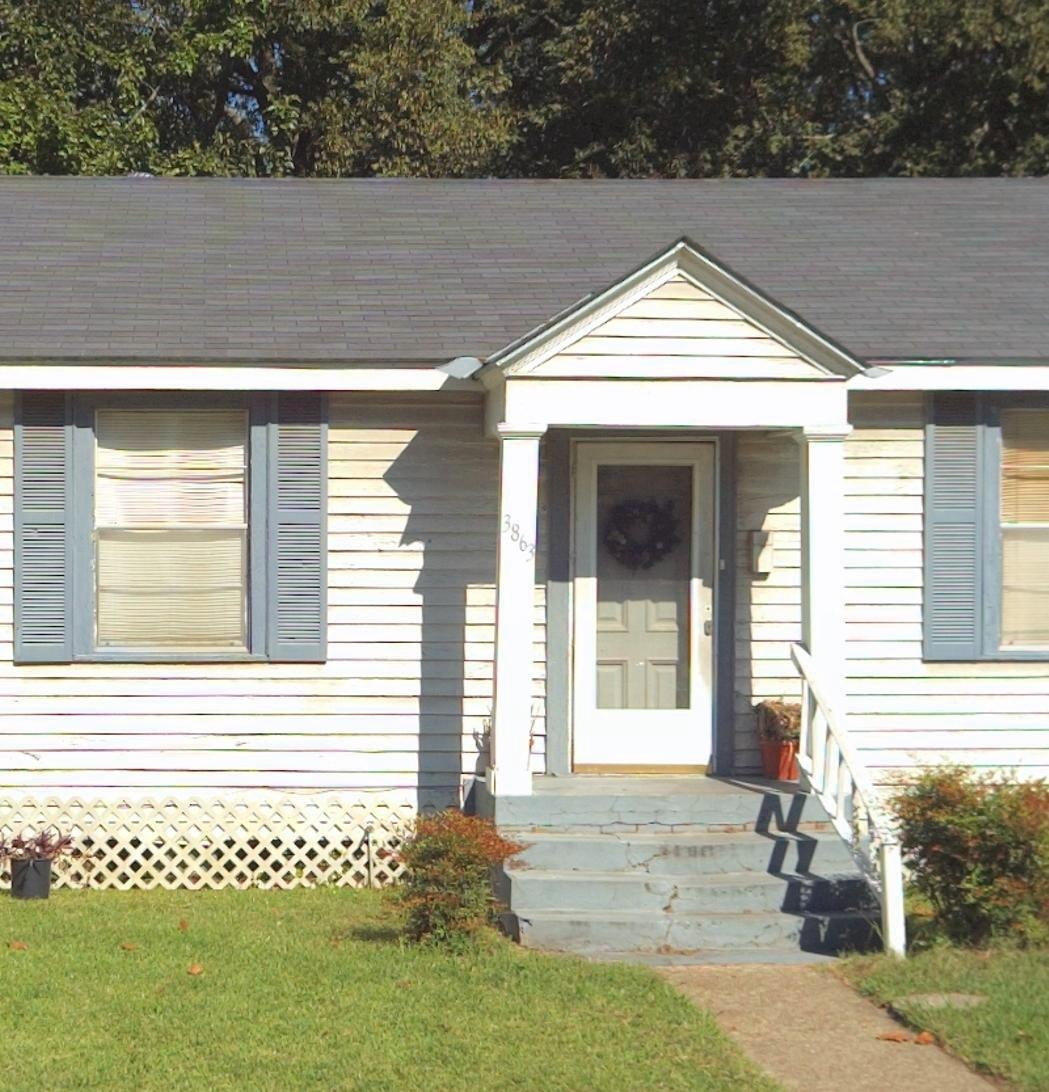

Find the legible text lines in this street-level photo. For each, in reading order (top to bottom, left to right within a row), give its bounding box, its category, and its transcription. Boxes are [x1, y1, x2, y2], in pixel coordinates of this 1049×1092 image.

[501, 513, 536, 563] StreetNumber: 3863